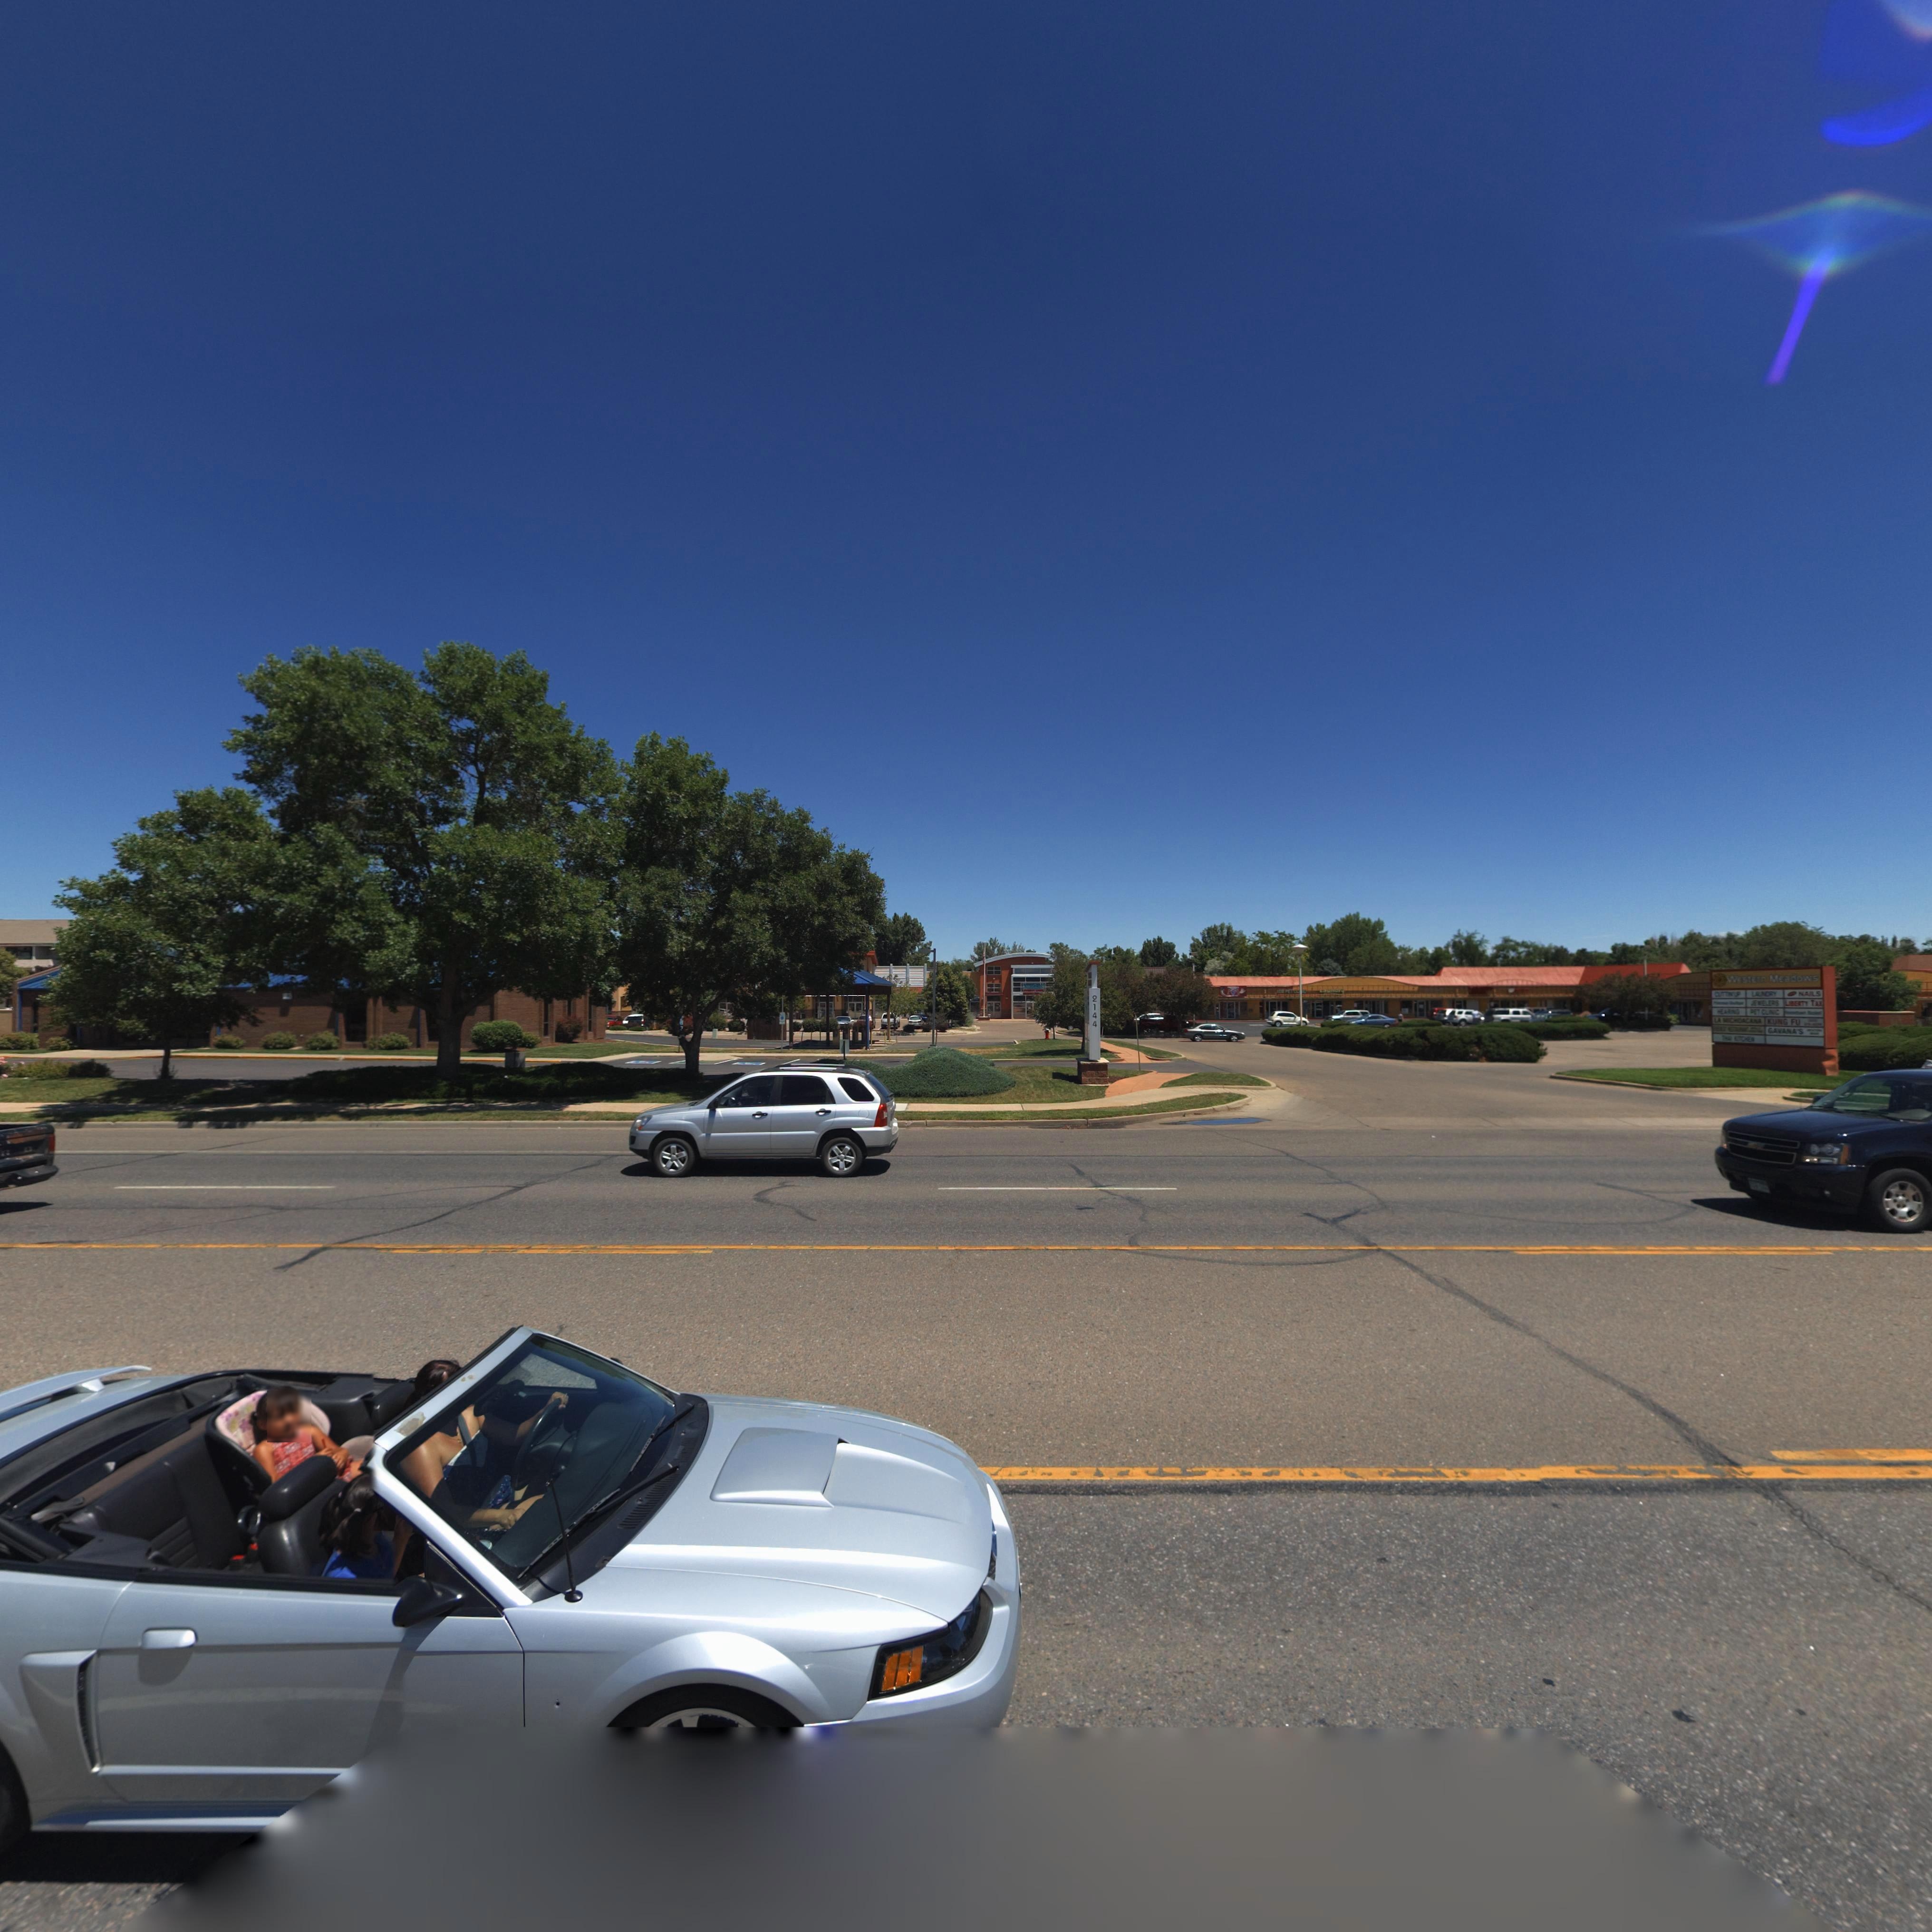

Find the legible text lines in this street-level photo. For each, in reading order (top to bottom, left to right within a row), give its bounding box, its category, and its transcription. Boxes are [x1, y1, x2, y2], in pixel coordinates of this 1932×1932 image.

[1092, 995, 1097, 1027] StreetNumber: 2144
[1785, 999, 1823, 1006] BusinessName: *IBE*T* TA*